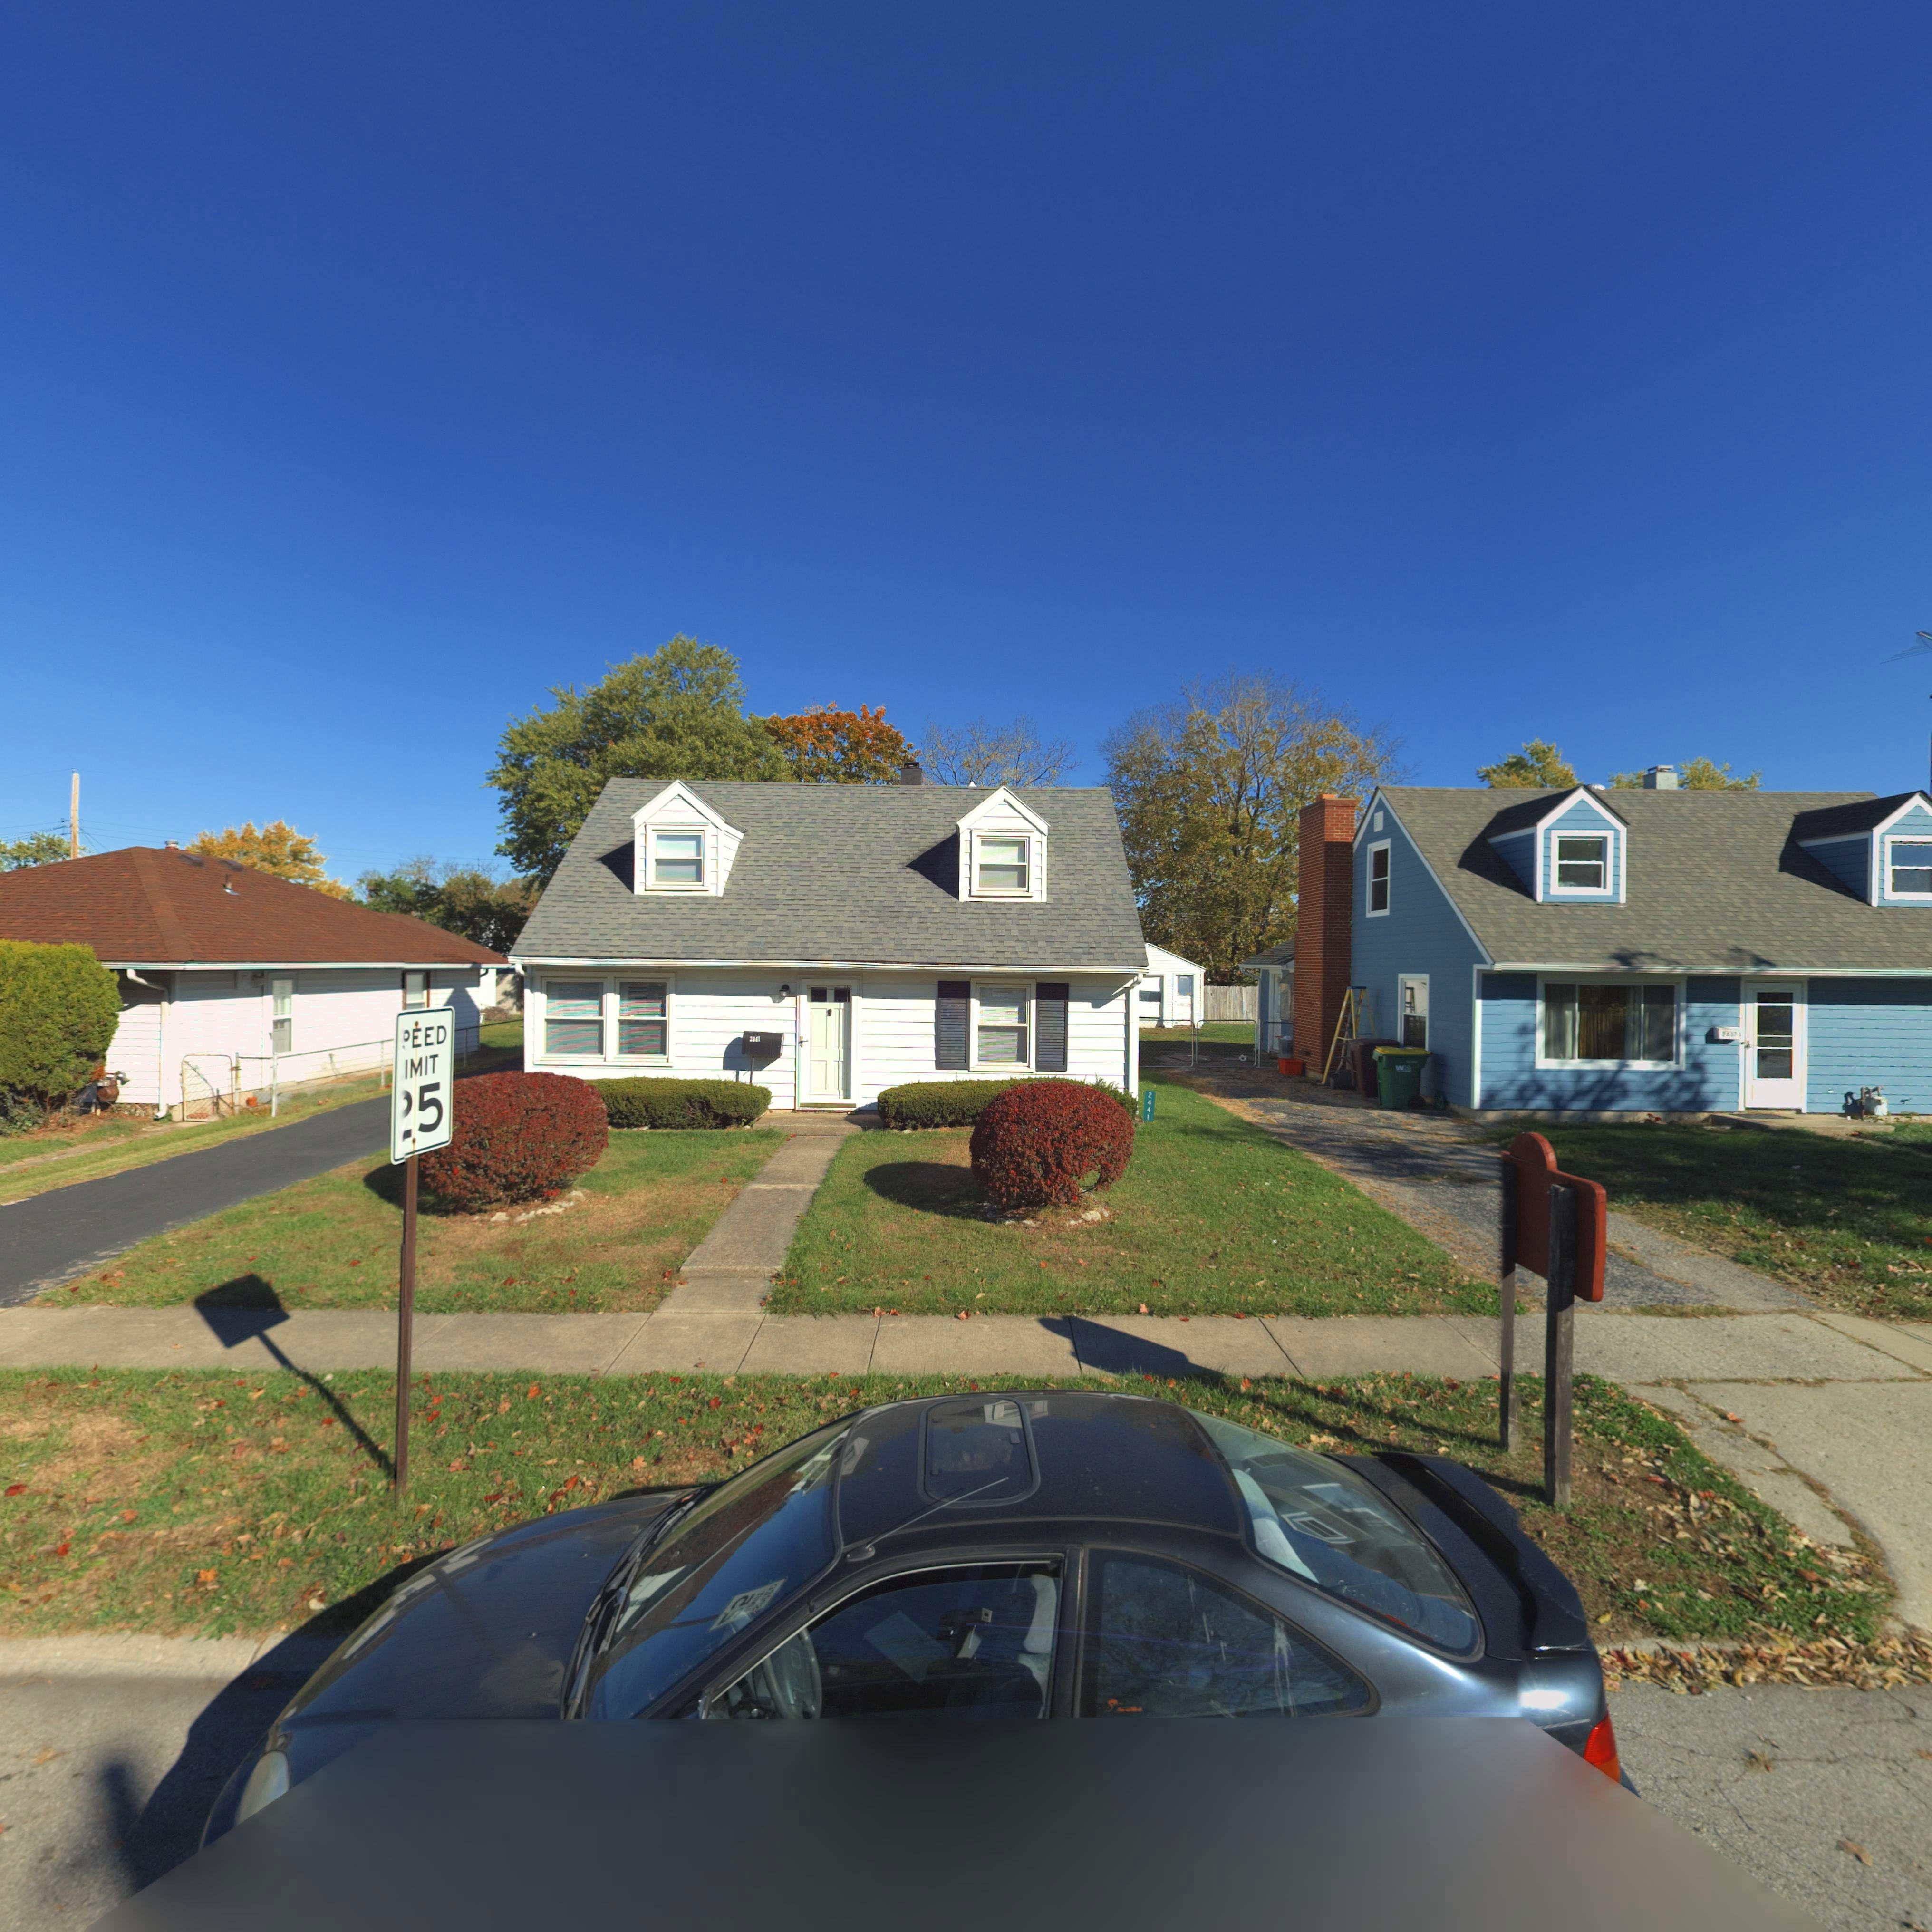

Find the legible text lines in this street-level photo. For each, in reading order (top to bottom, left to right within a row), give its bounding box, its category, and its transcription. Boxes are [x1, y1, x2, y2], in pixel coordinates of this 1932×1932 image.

[1721, 1031, 1737, 1037] StreetNumber: 2437
[749, 1035, 761, 1042] StreetNumber: 2441
[1145, 1091, 1153, 1121] StreetNumber: 2441